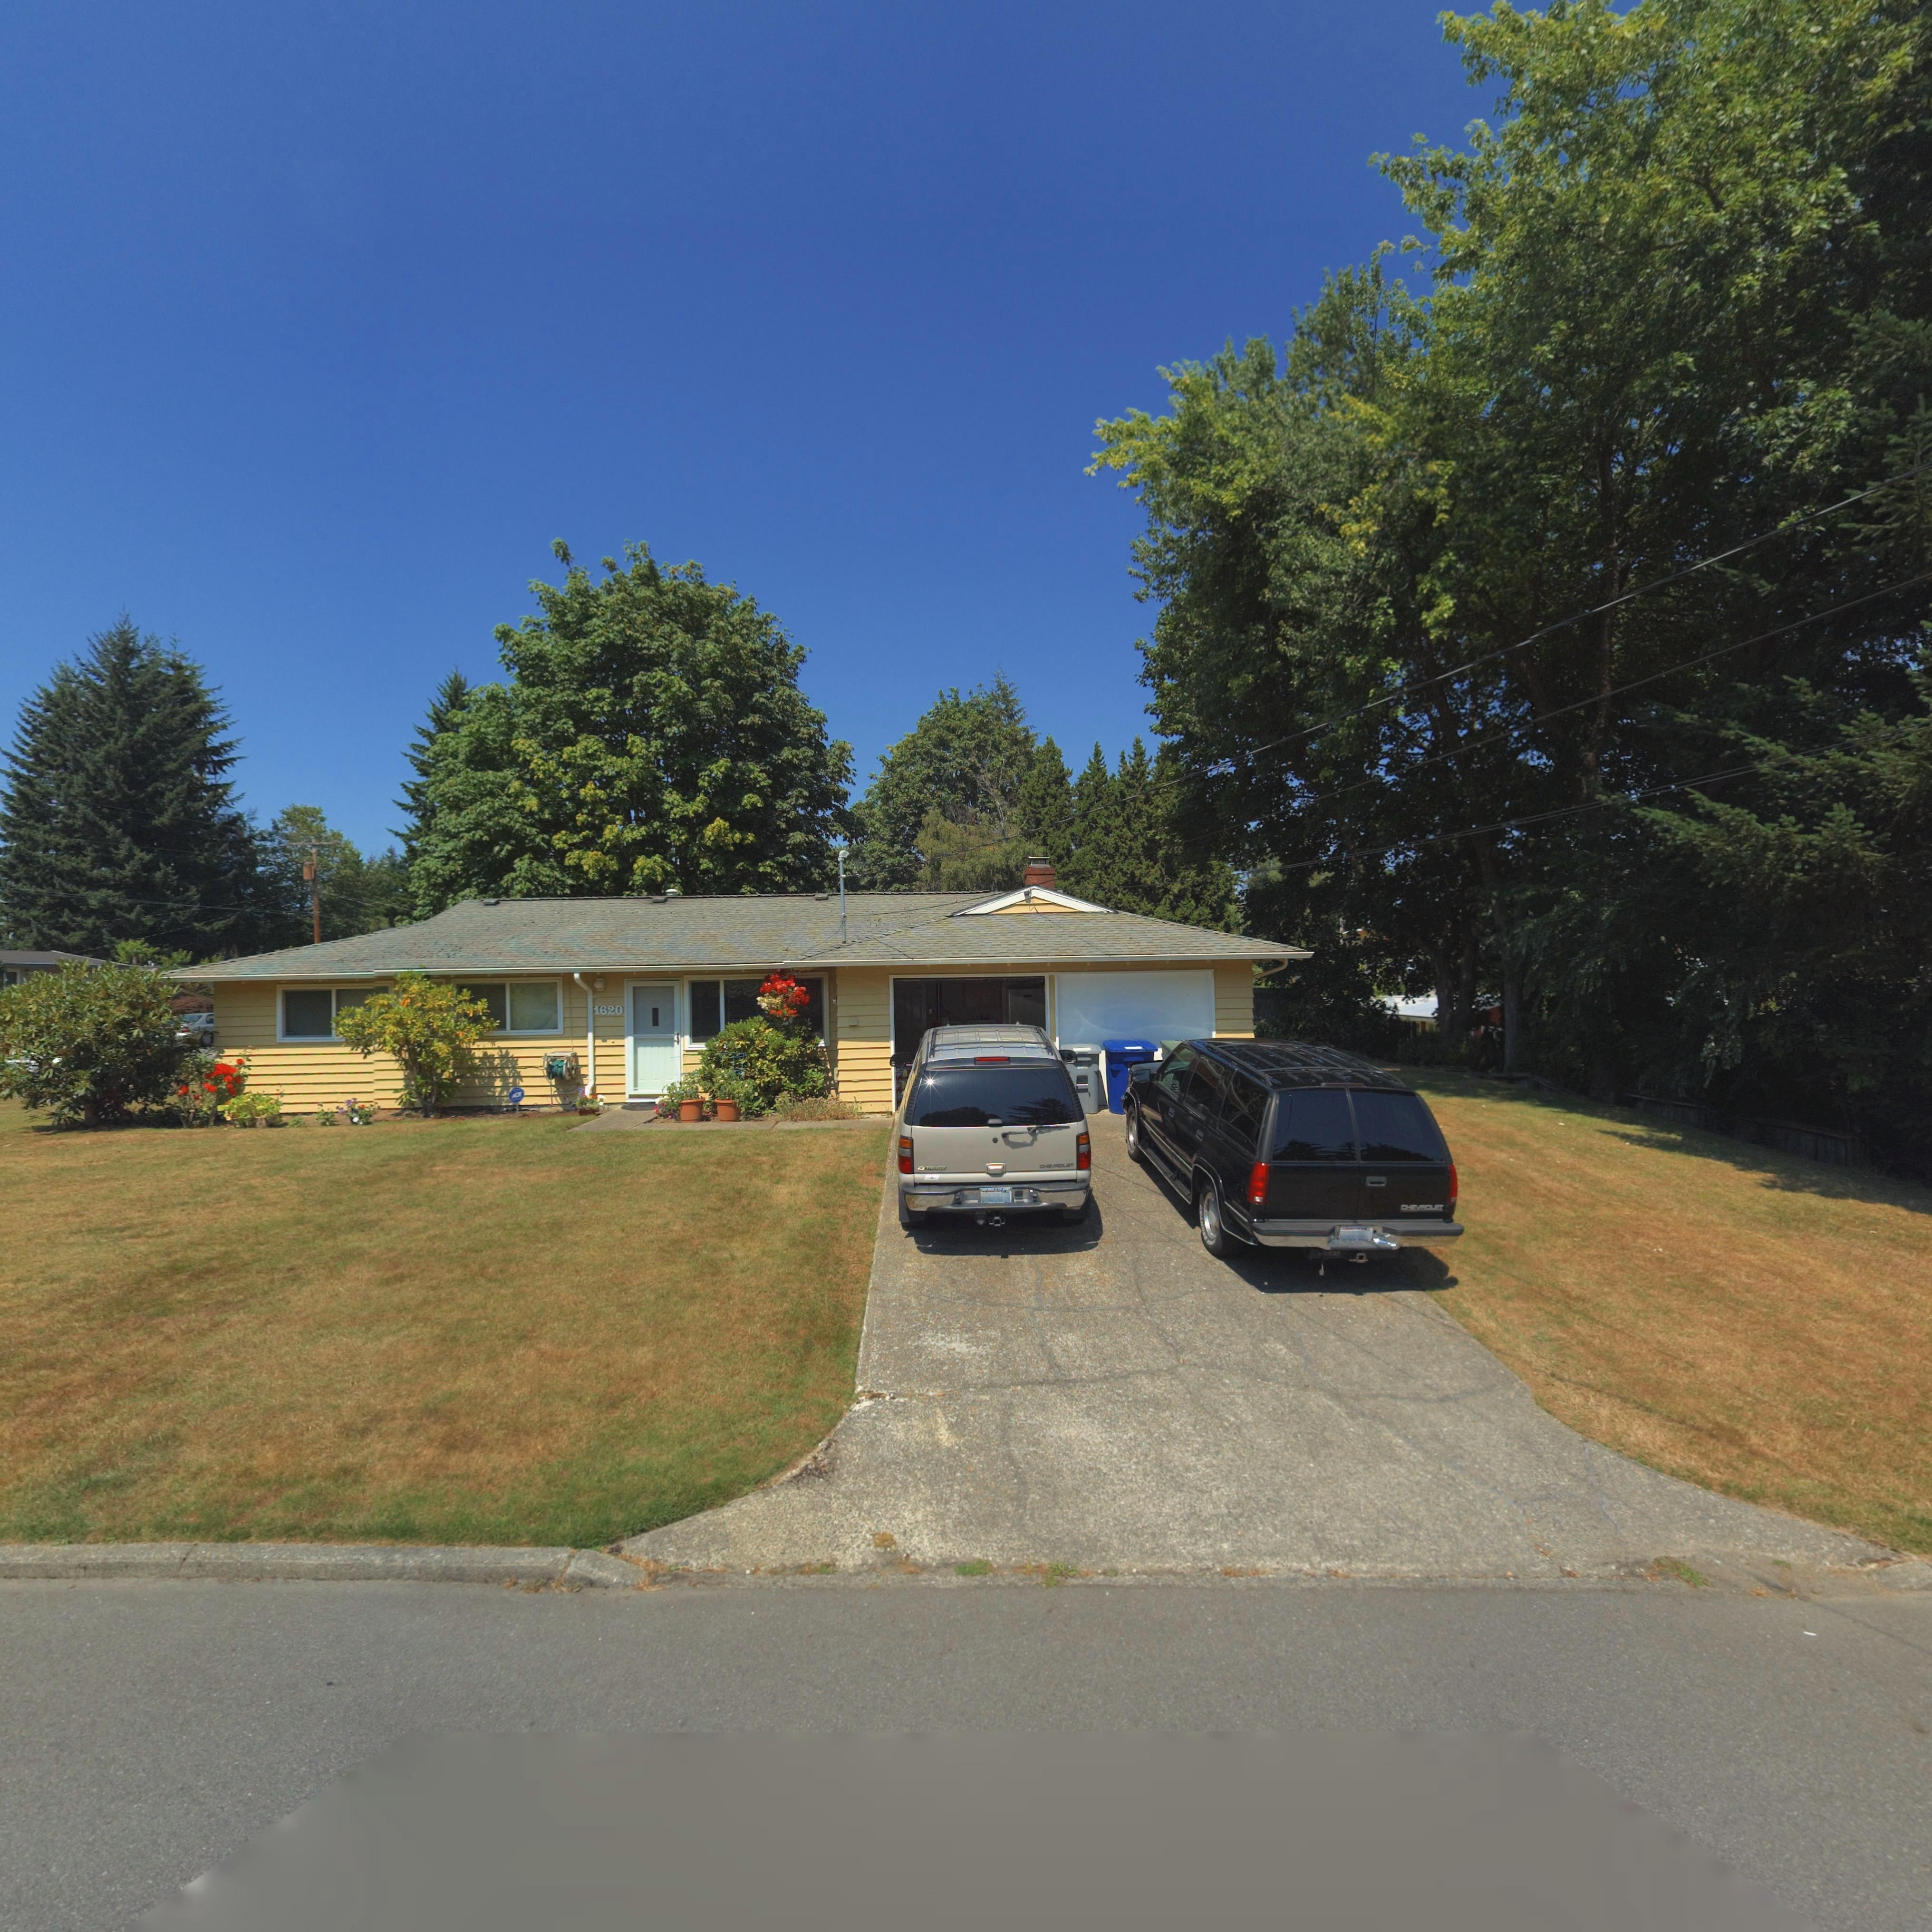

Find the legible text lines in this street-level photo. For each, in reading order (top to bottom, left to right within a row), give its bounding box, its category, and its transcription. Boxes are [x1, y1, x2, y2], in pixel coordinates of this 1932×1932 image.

[593, 1005, 622, 1015] StreetNumber: 1620